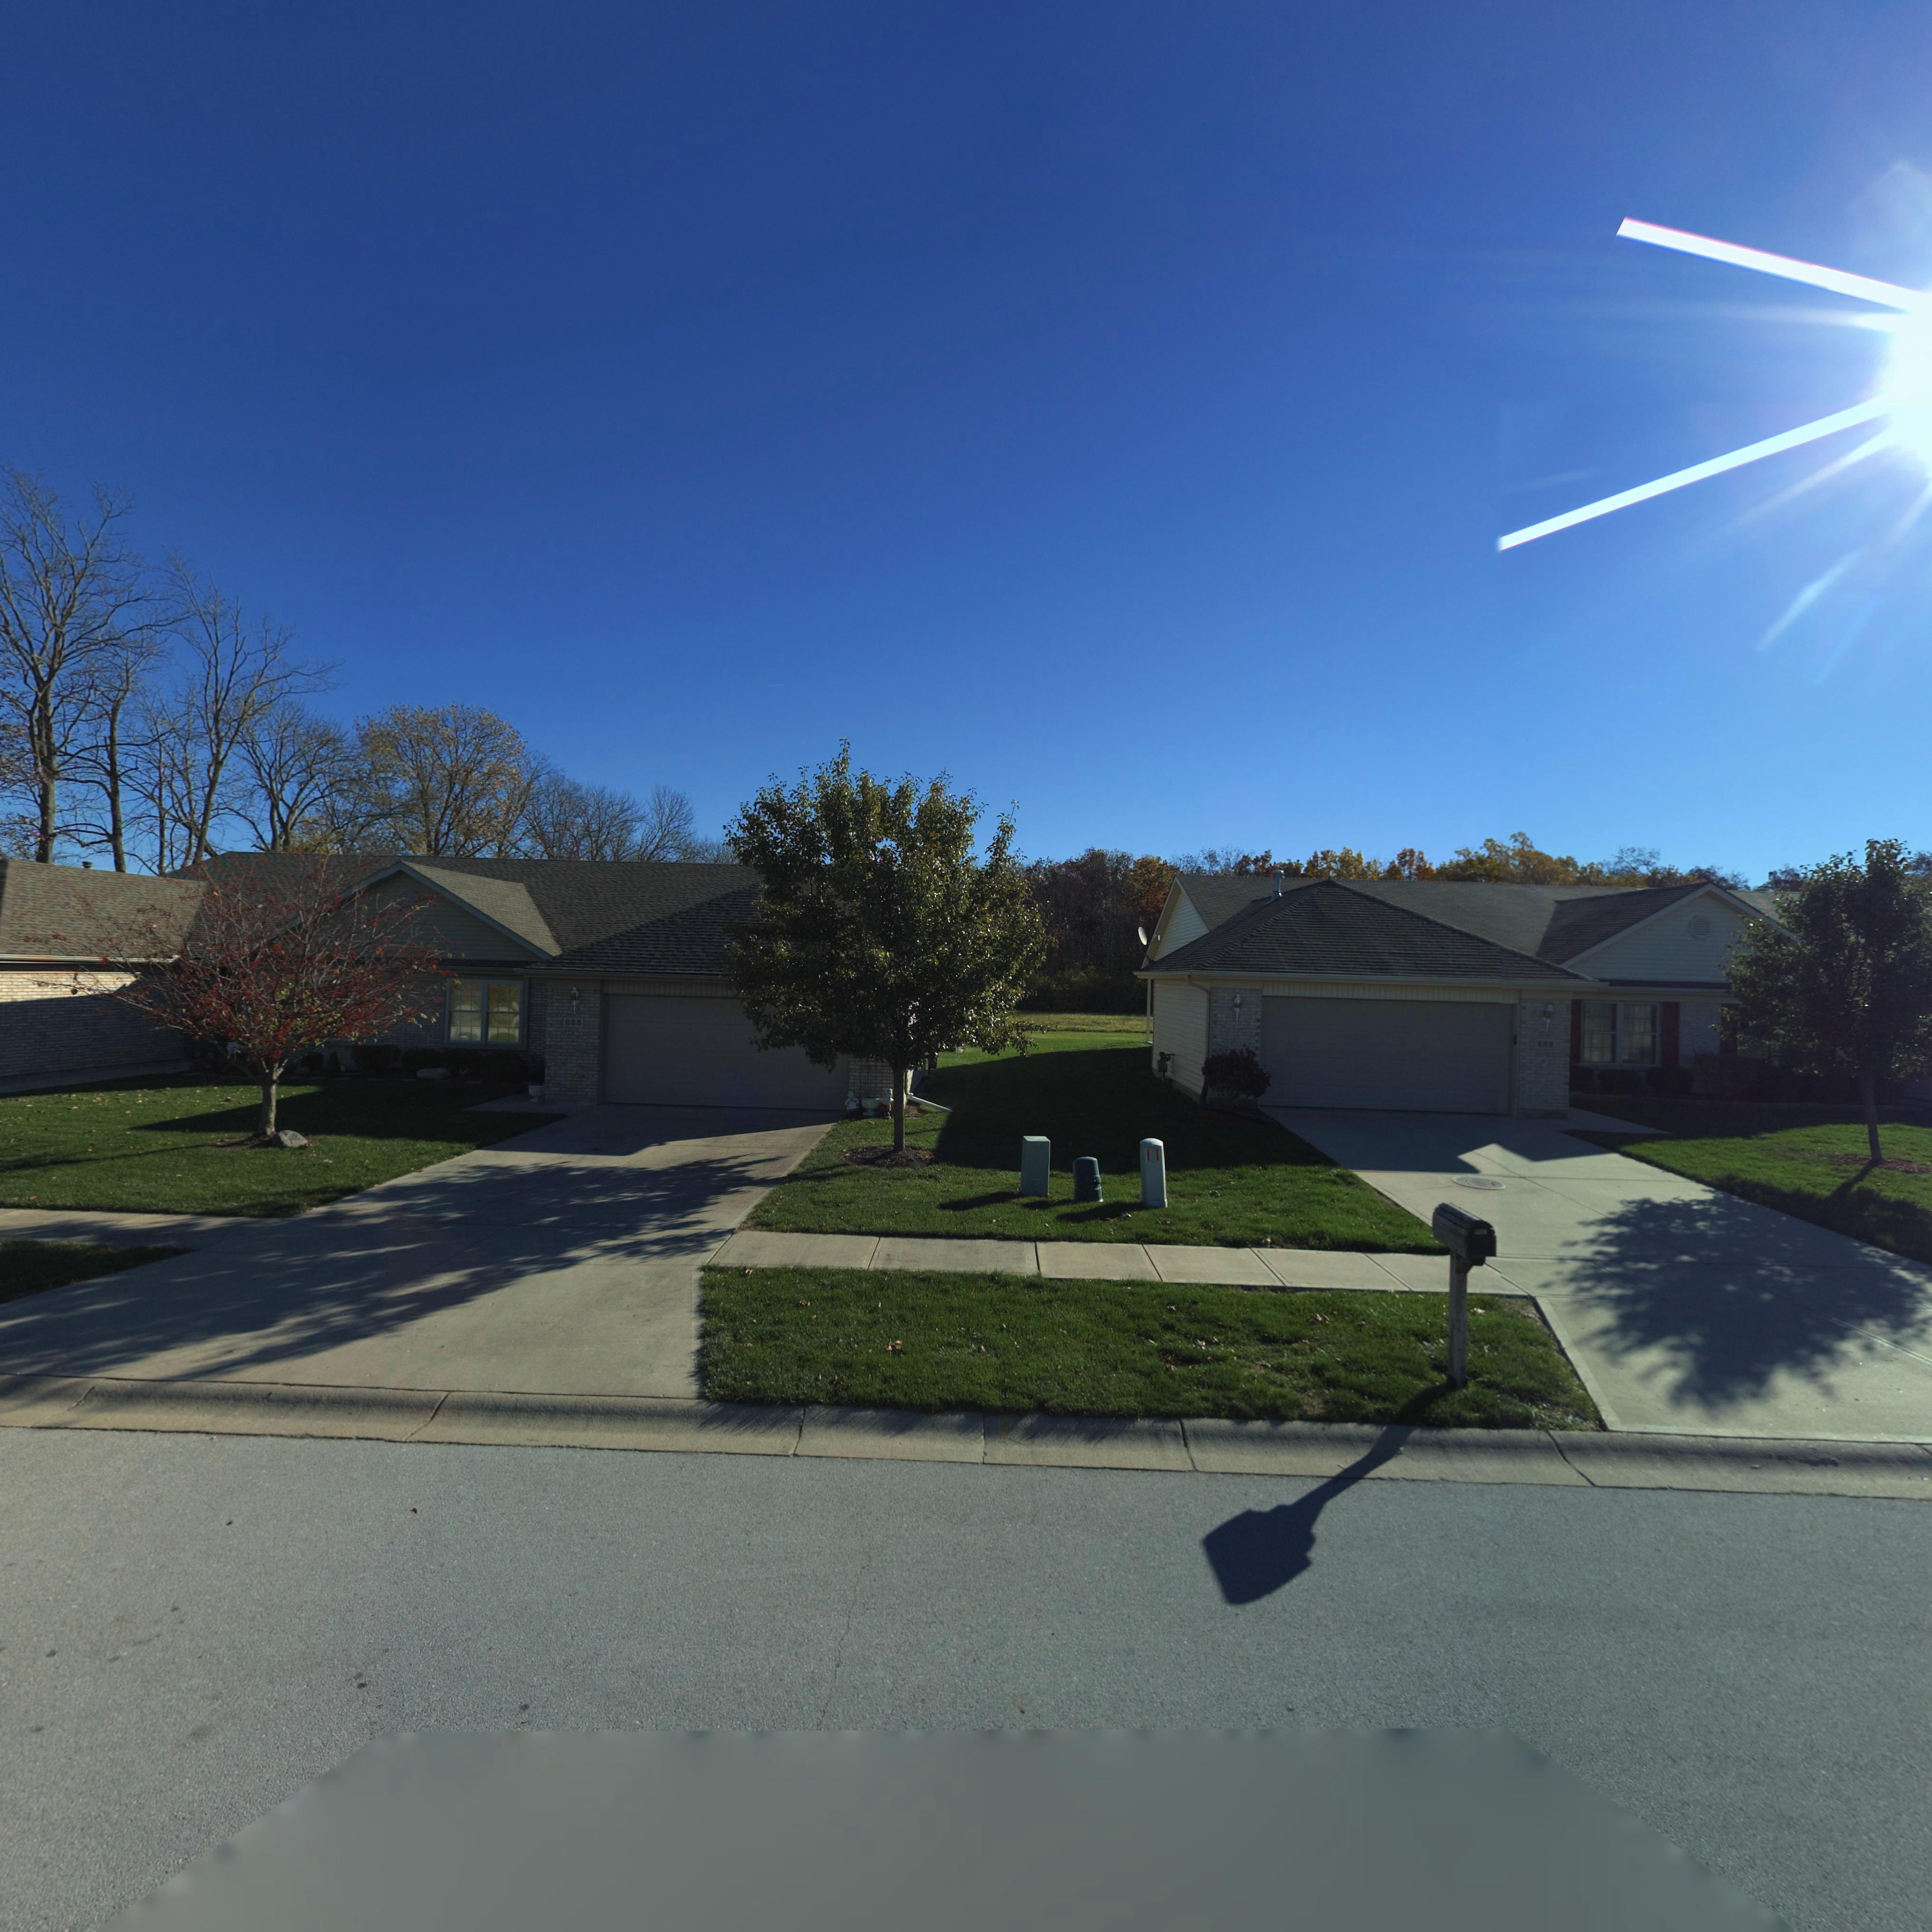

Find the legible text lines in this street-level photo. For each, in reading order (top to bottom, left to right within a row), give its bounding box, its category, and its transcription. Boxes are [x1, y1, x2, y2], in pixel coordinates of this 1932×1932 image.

[564, 1018, 582, 1026] StreetNumber: 225
[1535, 1038, 1555, 1049] StreetNumber: 22*